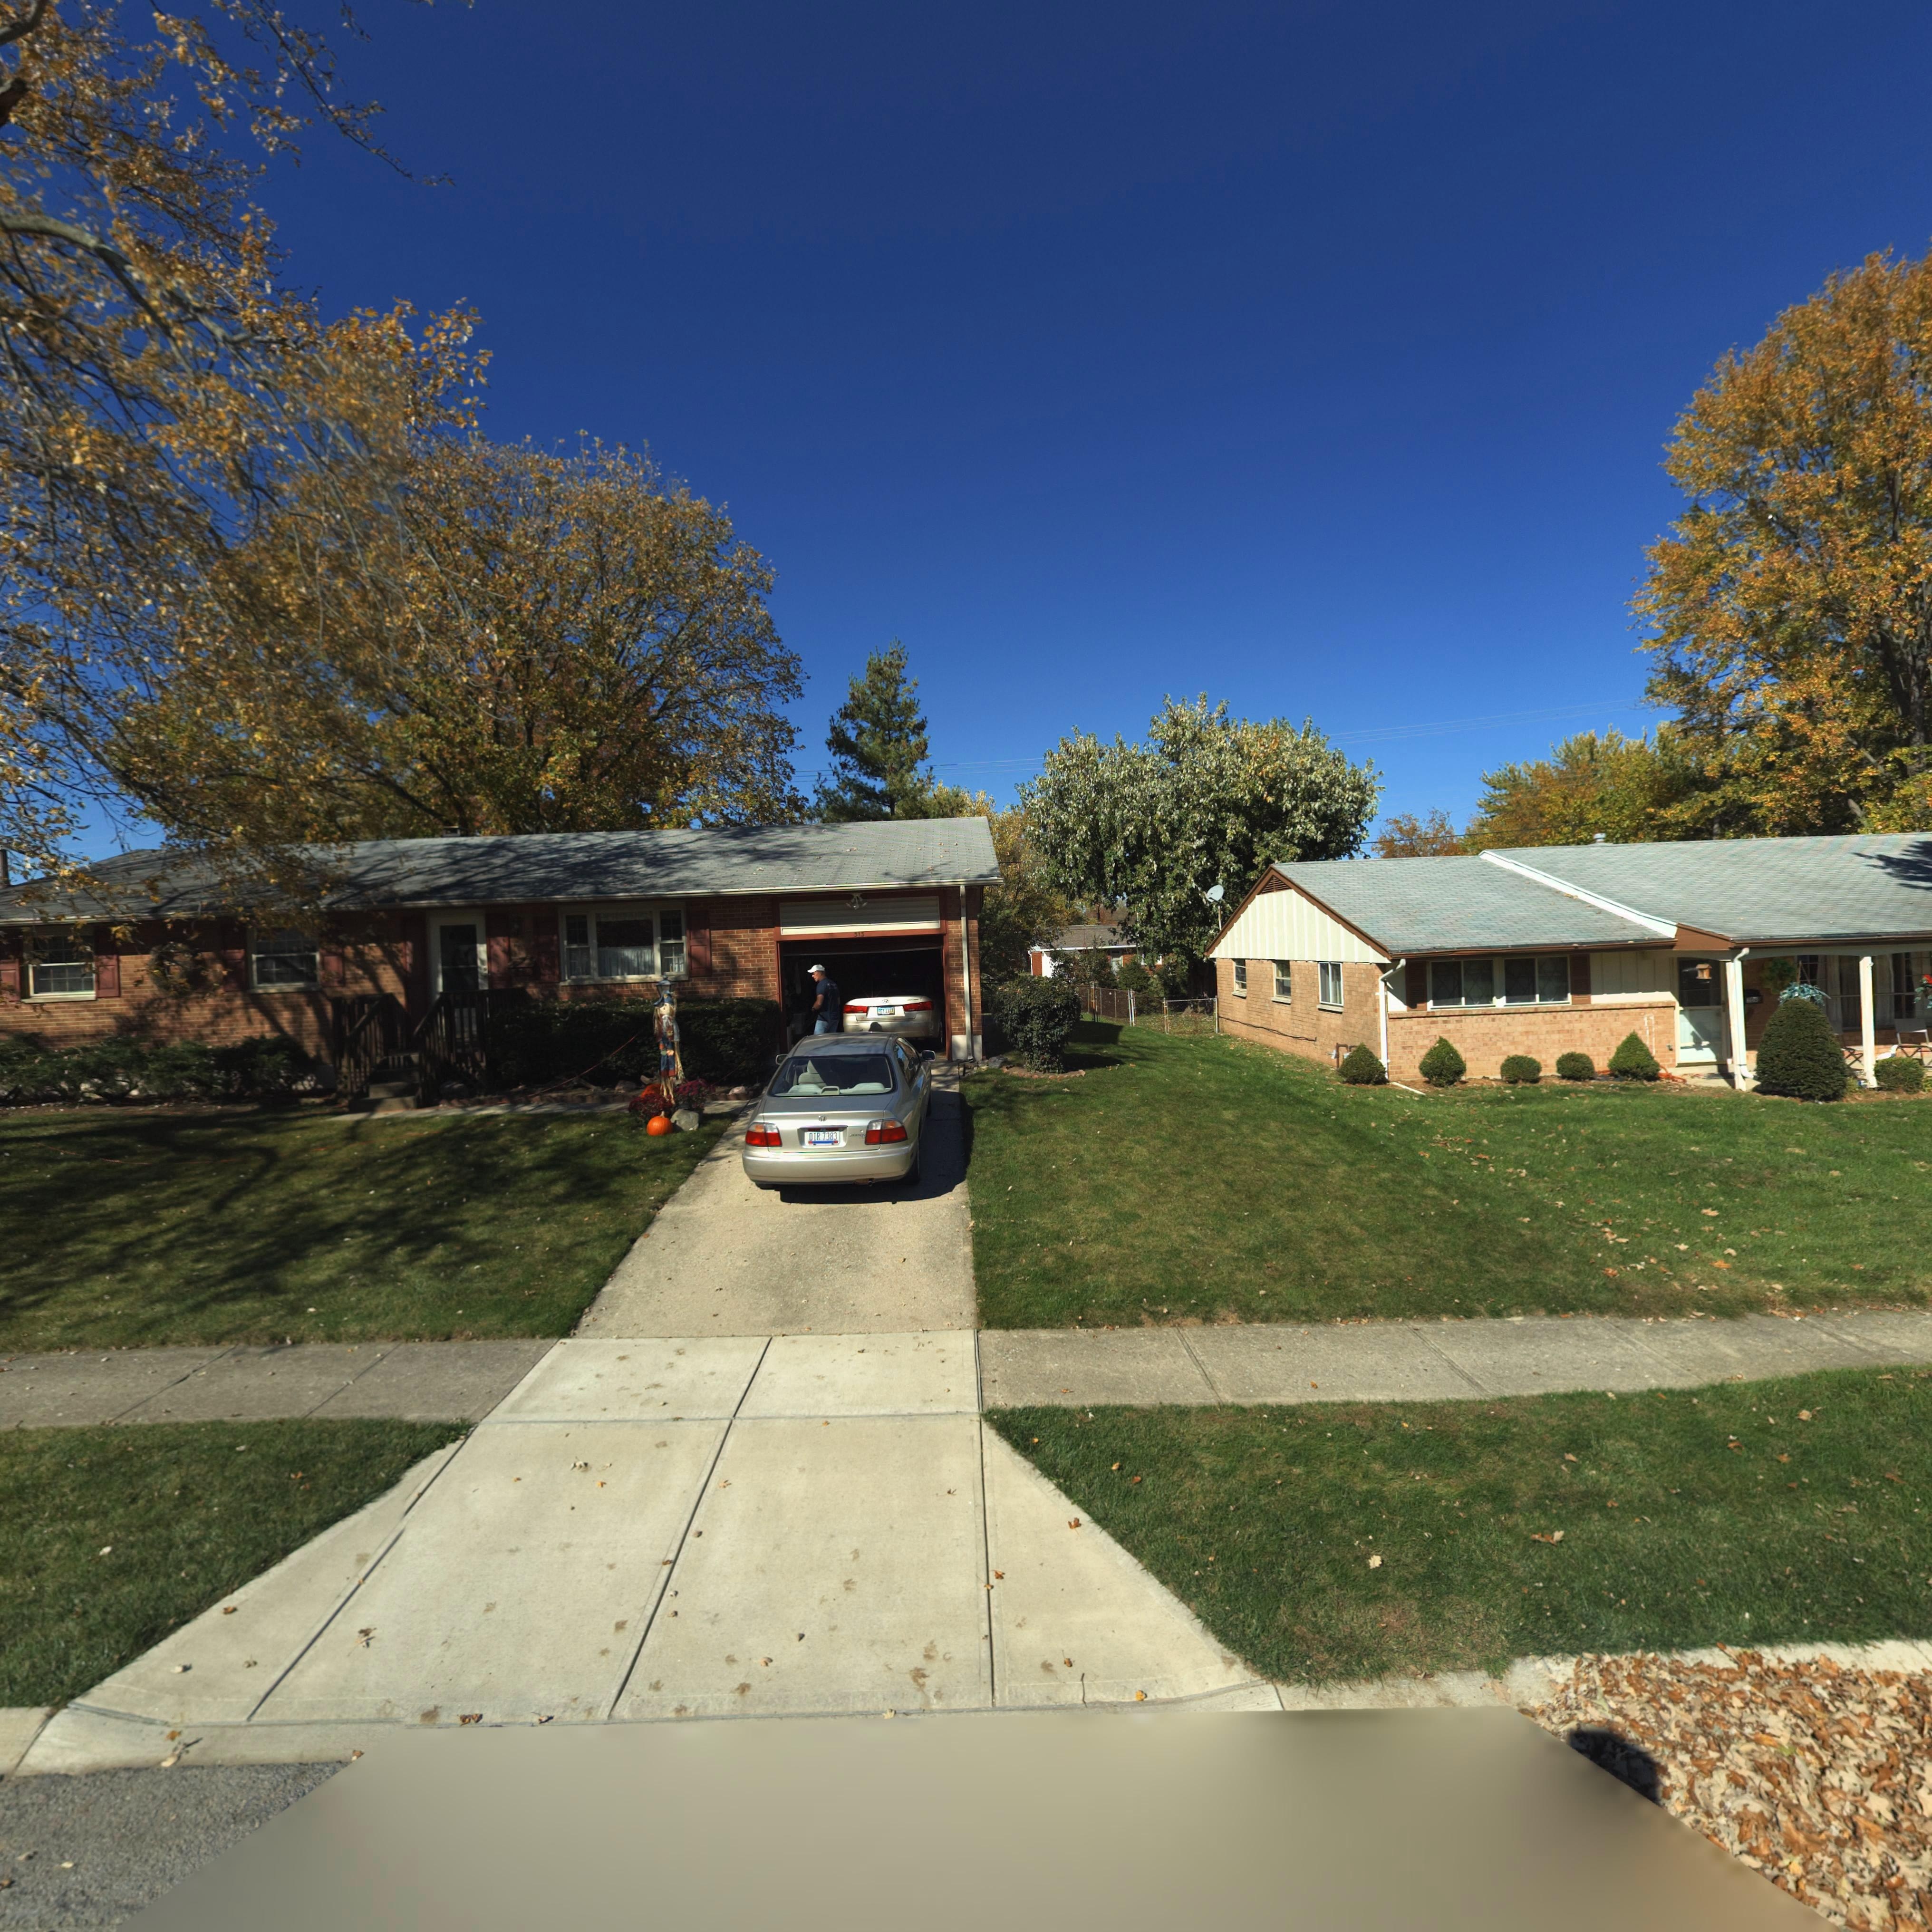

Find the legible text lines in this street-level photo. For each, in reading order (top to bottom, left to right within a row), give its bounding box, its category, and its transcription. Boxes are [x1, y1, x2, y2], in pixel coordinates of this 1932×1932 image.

[853, 931, 866, 938] StreetNumber: 313
[809, 1132, 838, 1141] None: DIR*7383